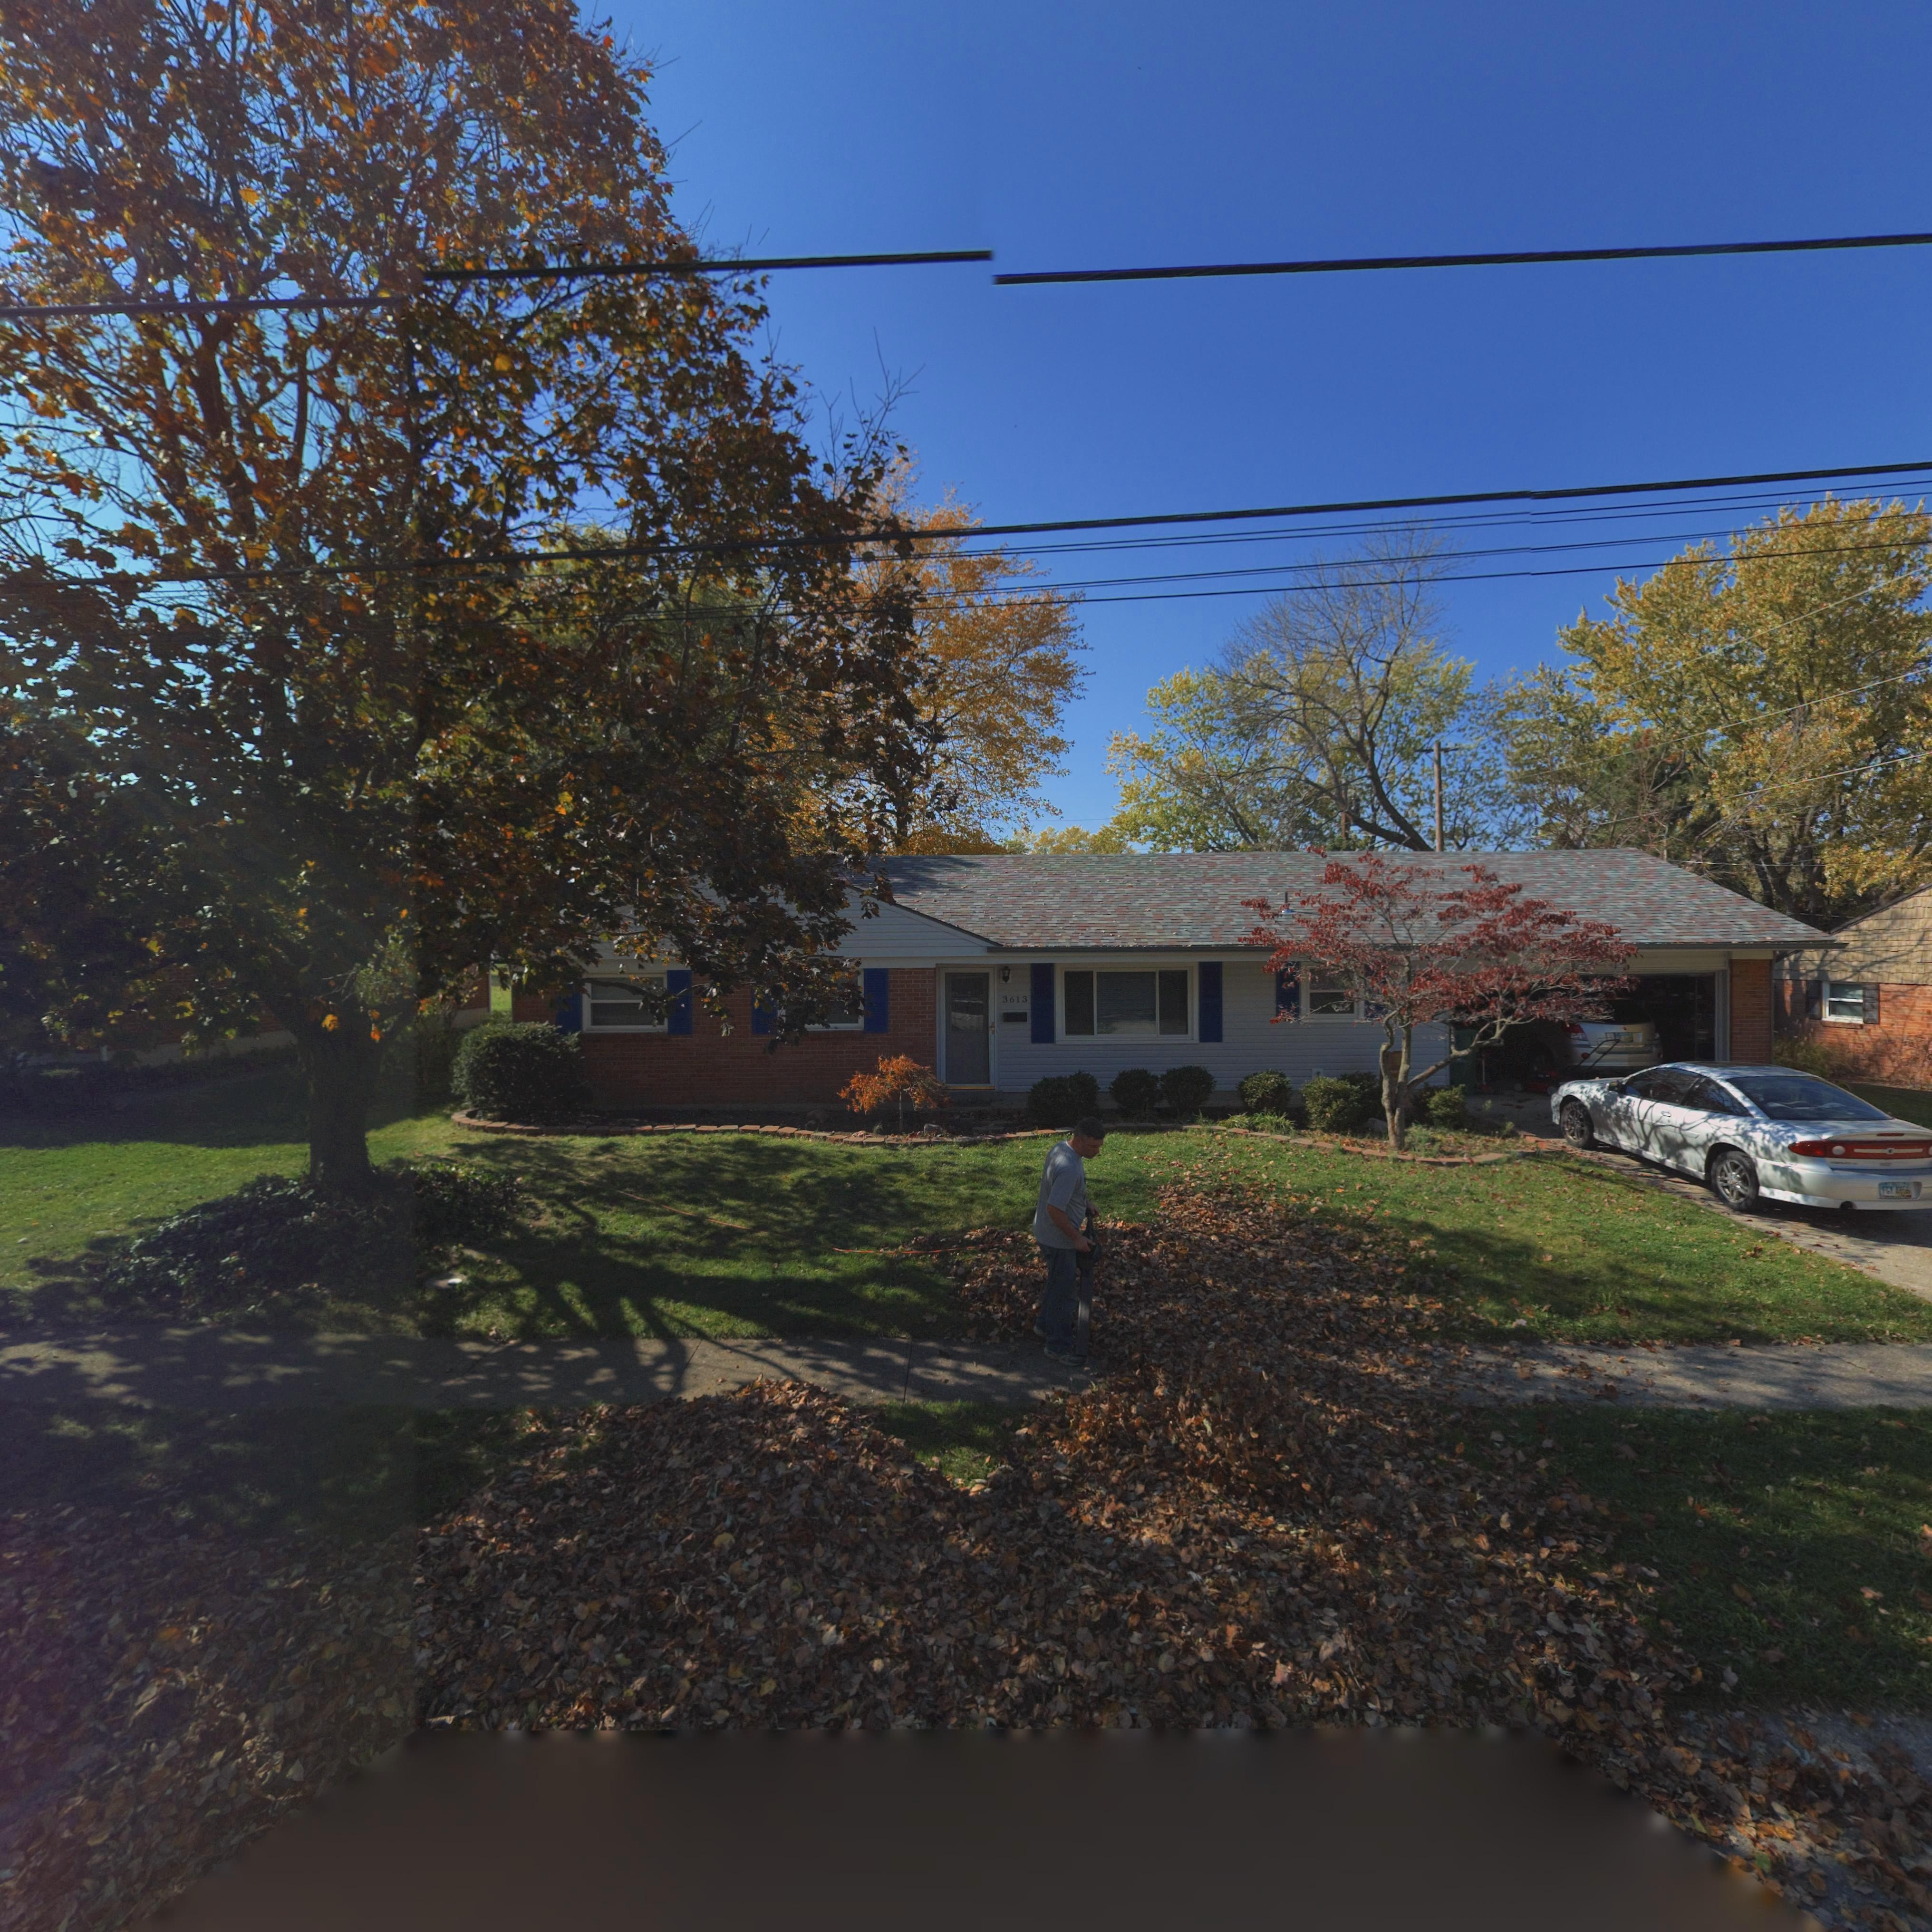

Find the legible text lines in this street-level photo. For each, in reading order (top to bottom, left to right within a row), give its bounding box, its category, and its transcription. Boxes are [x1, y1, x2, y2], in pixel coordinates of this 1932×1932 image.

[1002, 995, 1027, 1003] StreetNumber: 3613